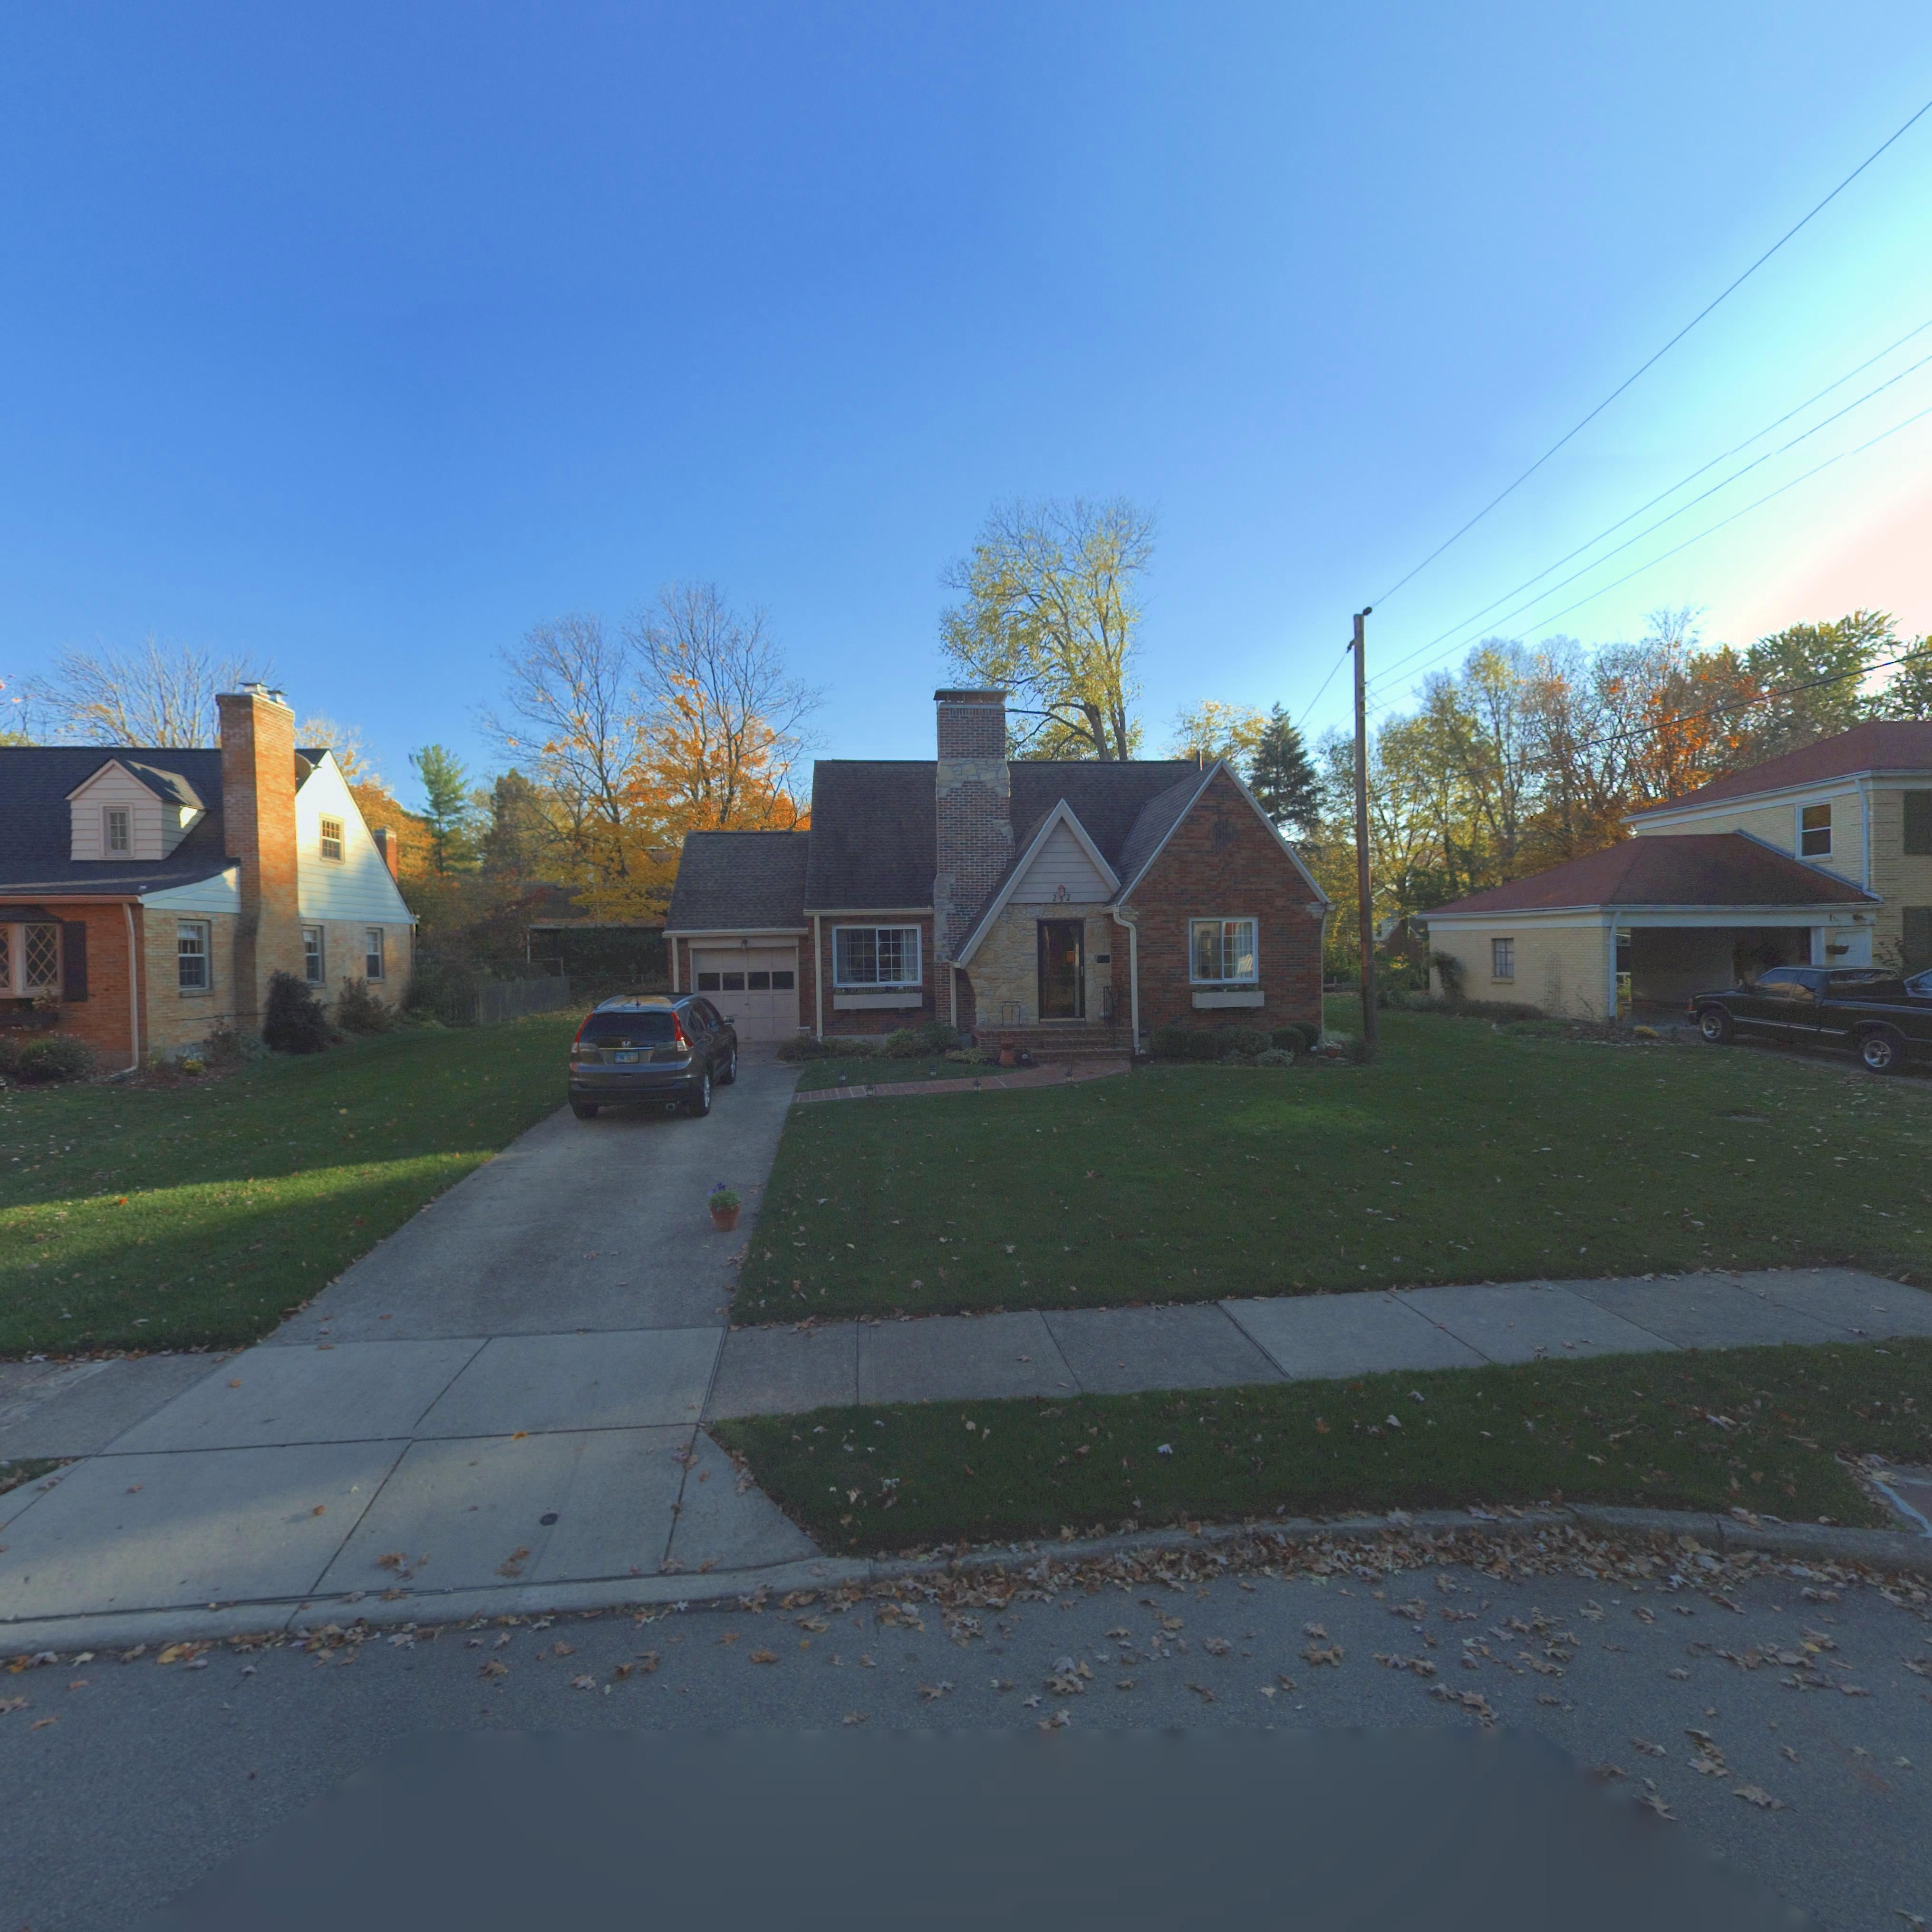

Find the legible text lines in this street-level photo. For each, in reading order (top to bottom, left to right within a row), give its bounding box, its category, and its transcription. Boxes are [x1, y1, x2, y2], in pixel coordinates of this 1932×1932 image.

[1052, 893, 1071, 902] StreetNumber: 232